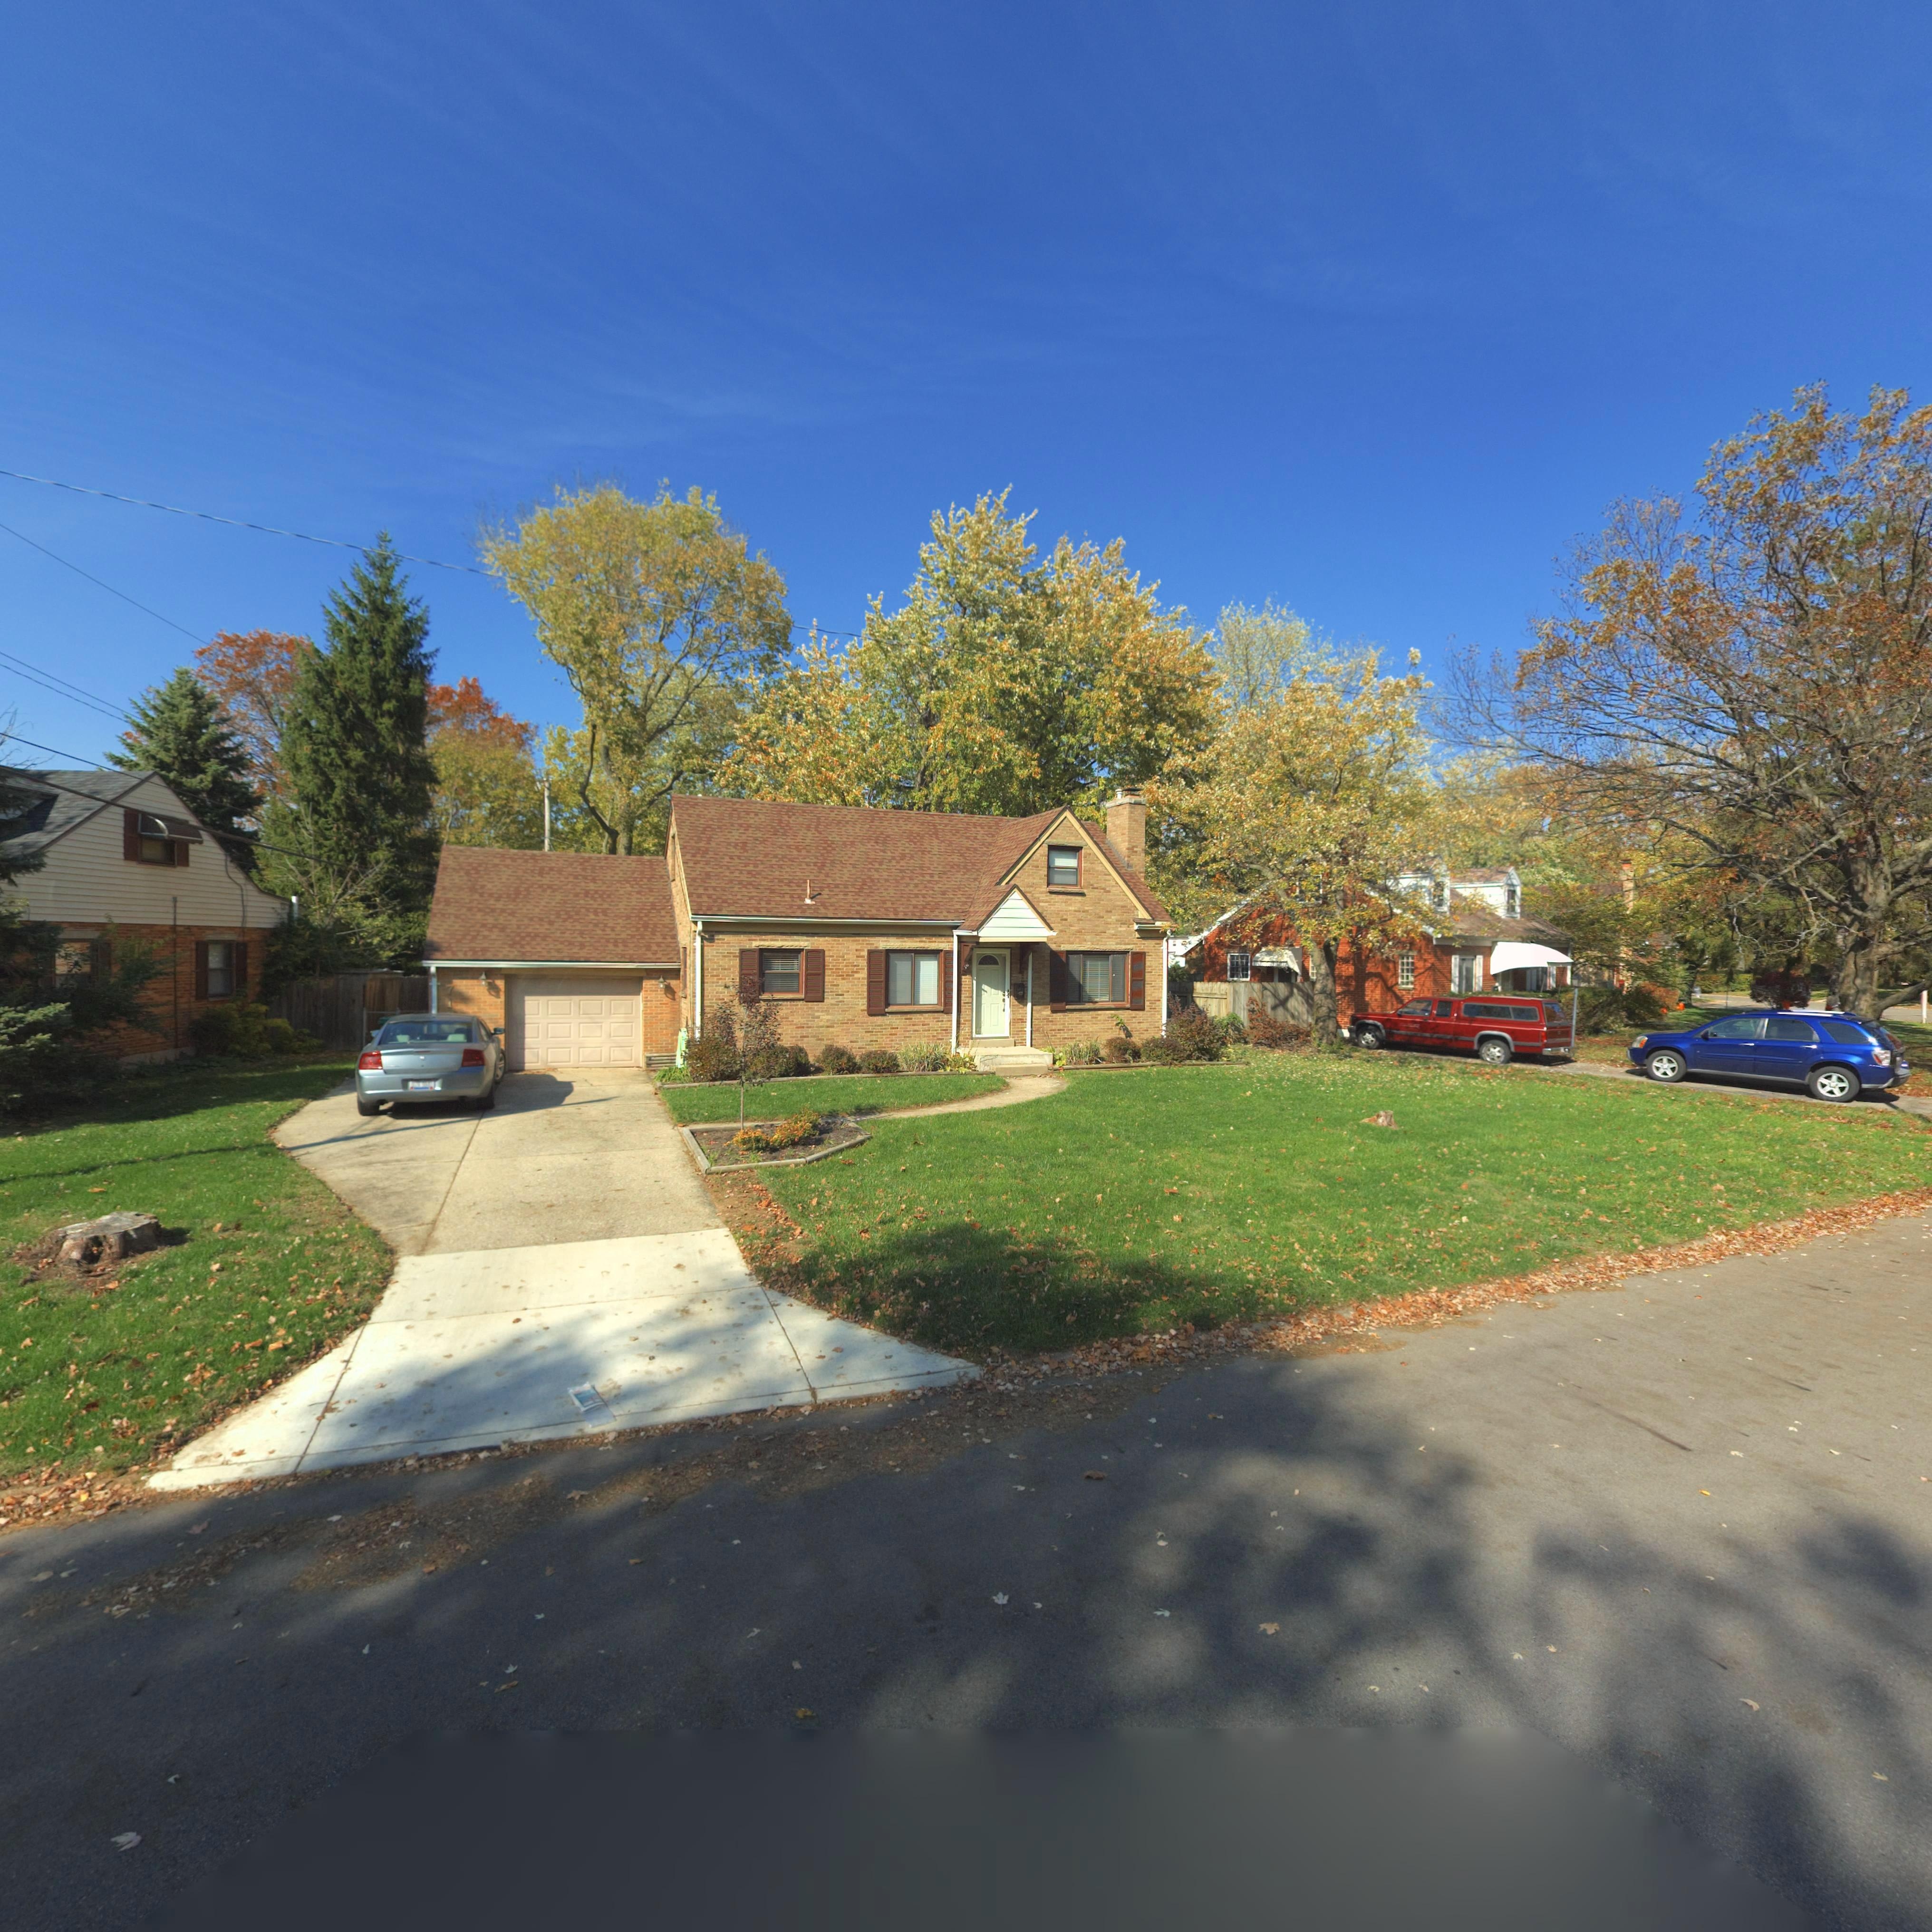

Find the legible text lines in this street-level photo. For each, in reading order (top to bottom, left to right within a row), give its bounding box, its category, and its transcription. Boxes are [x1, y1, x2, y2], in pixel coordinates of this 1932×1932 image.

[445, 984, 454, 1009] StreetNumber: 71